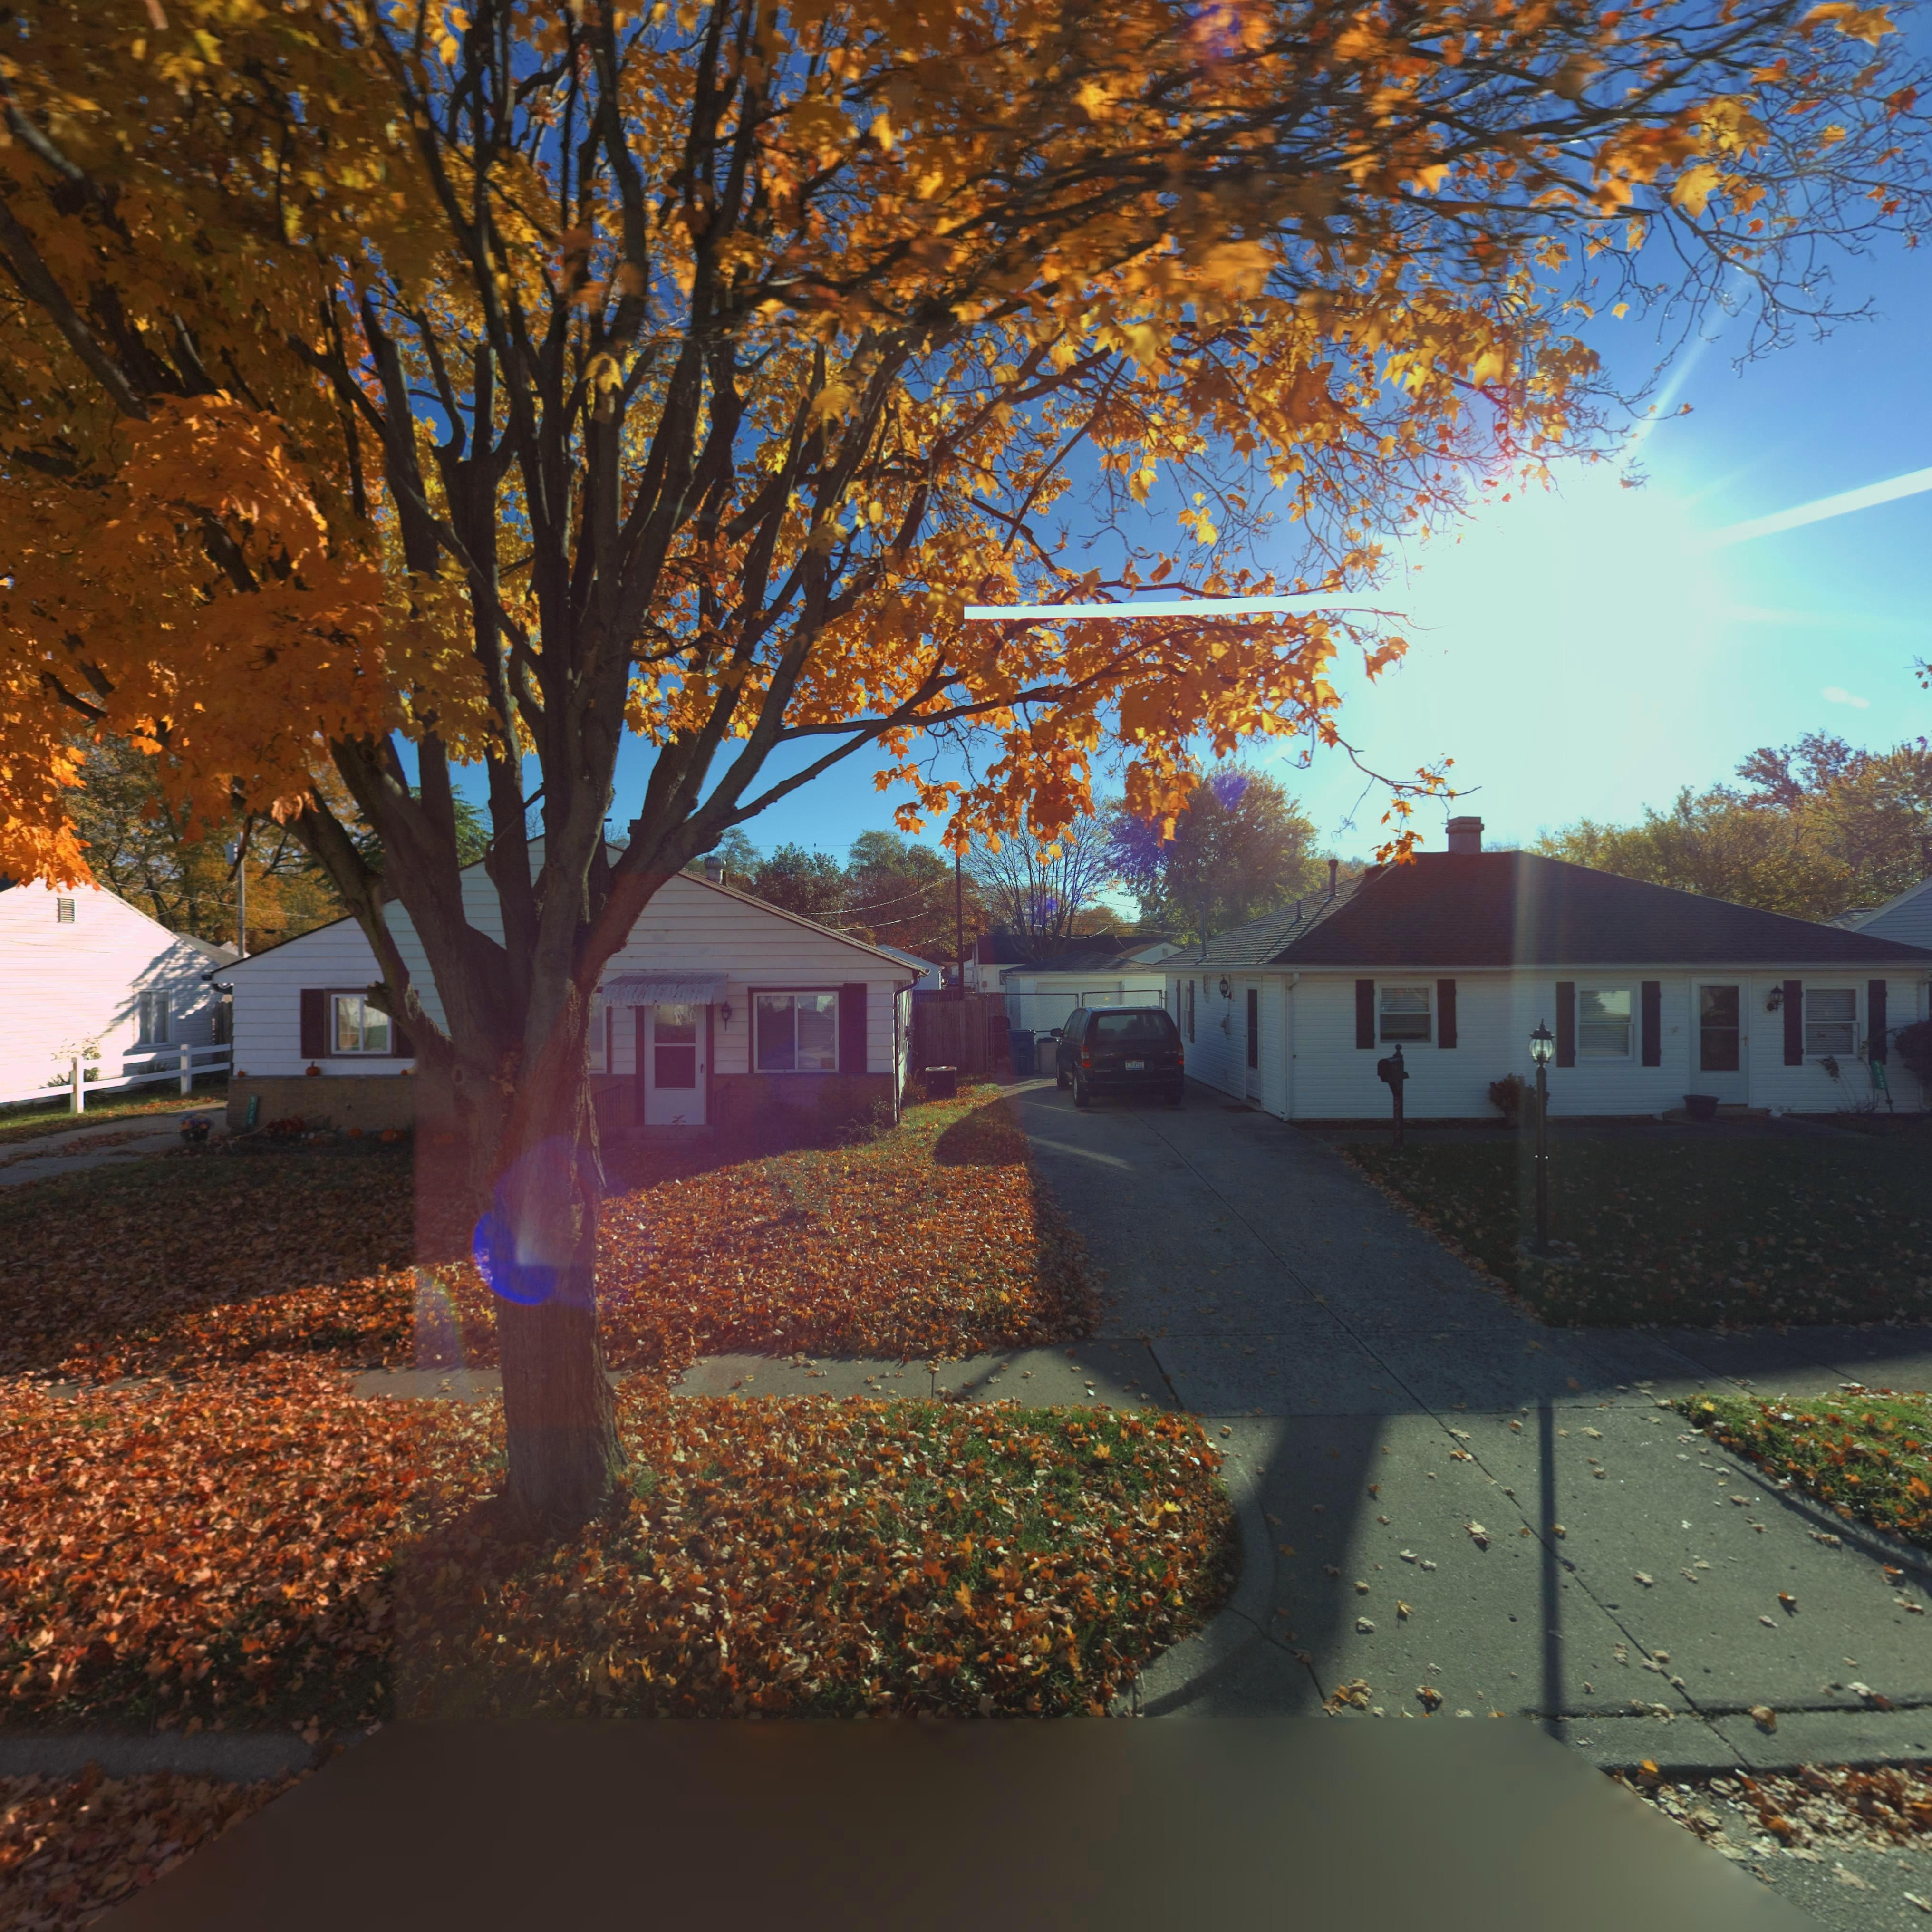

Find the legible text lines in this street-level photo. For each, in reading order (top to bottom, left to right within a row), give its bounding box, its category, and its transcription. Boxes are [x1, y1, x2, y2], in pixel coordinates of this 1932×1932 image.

[1874, 1060, 1885, 1088] StreetNumber: 5132
[247, 1096, 256, 1125] StreetNumber: 5*29
[1393, 1100, 1401, 1139] StreetNumber: 5132